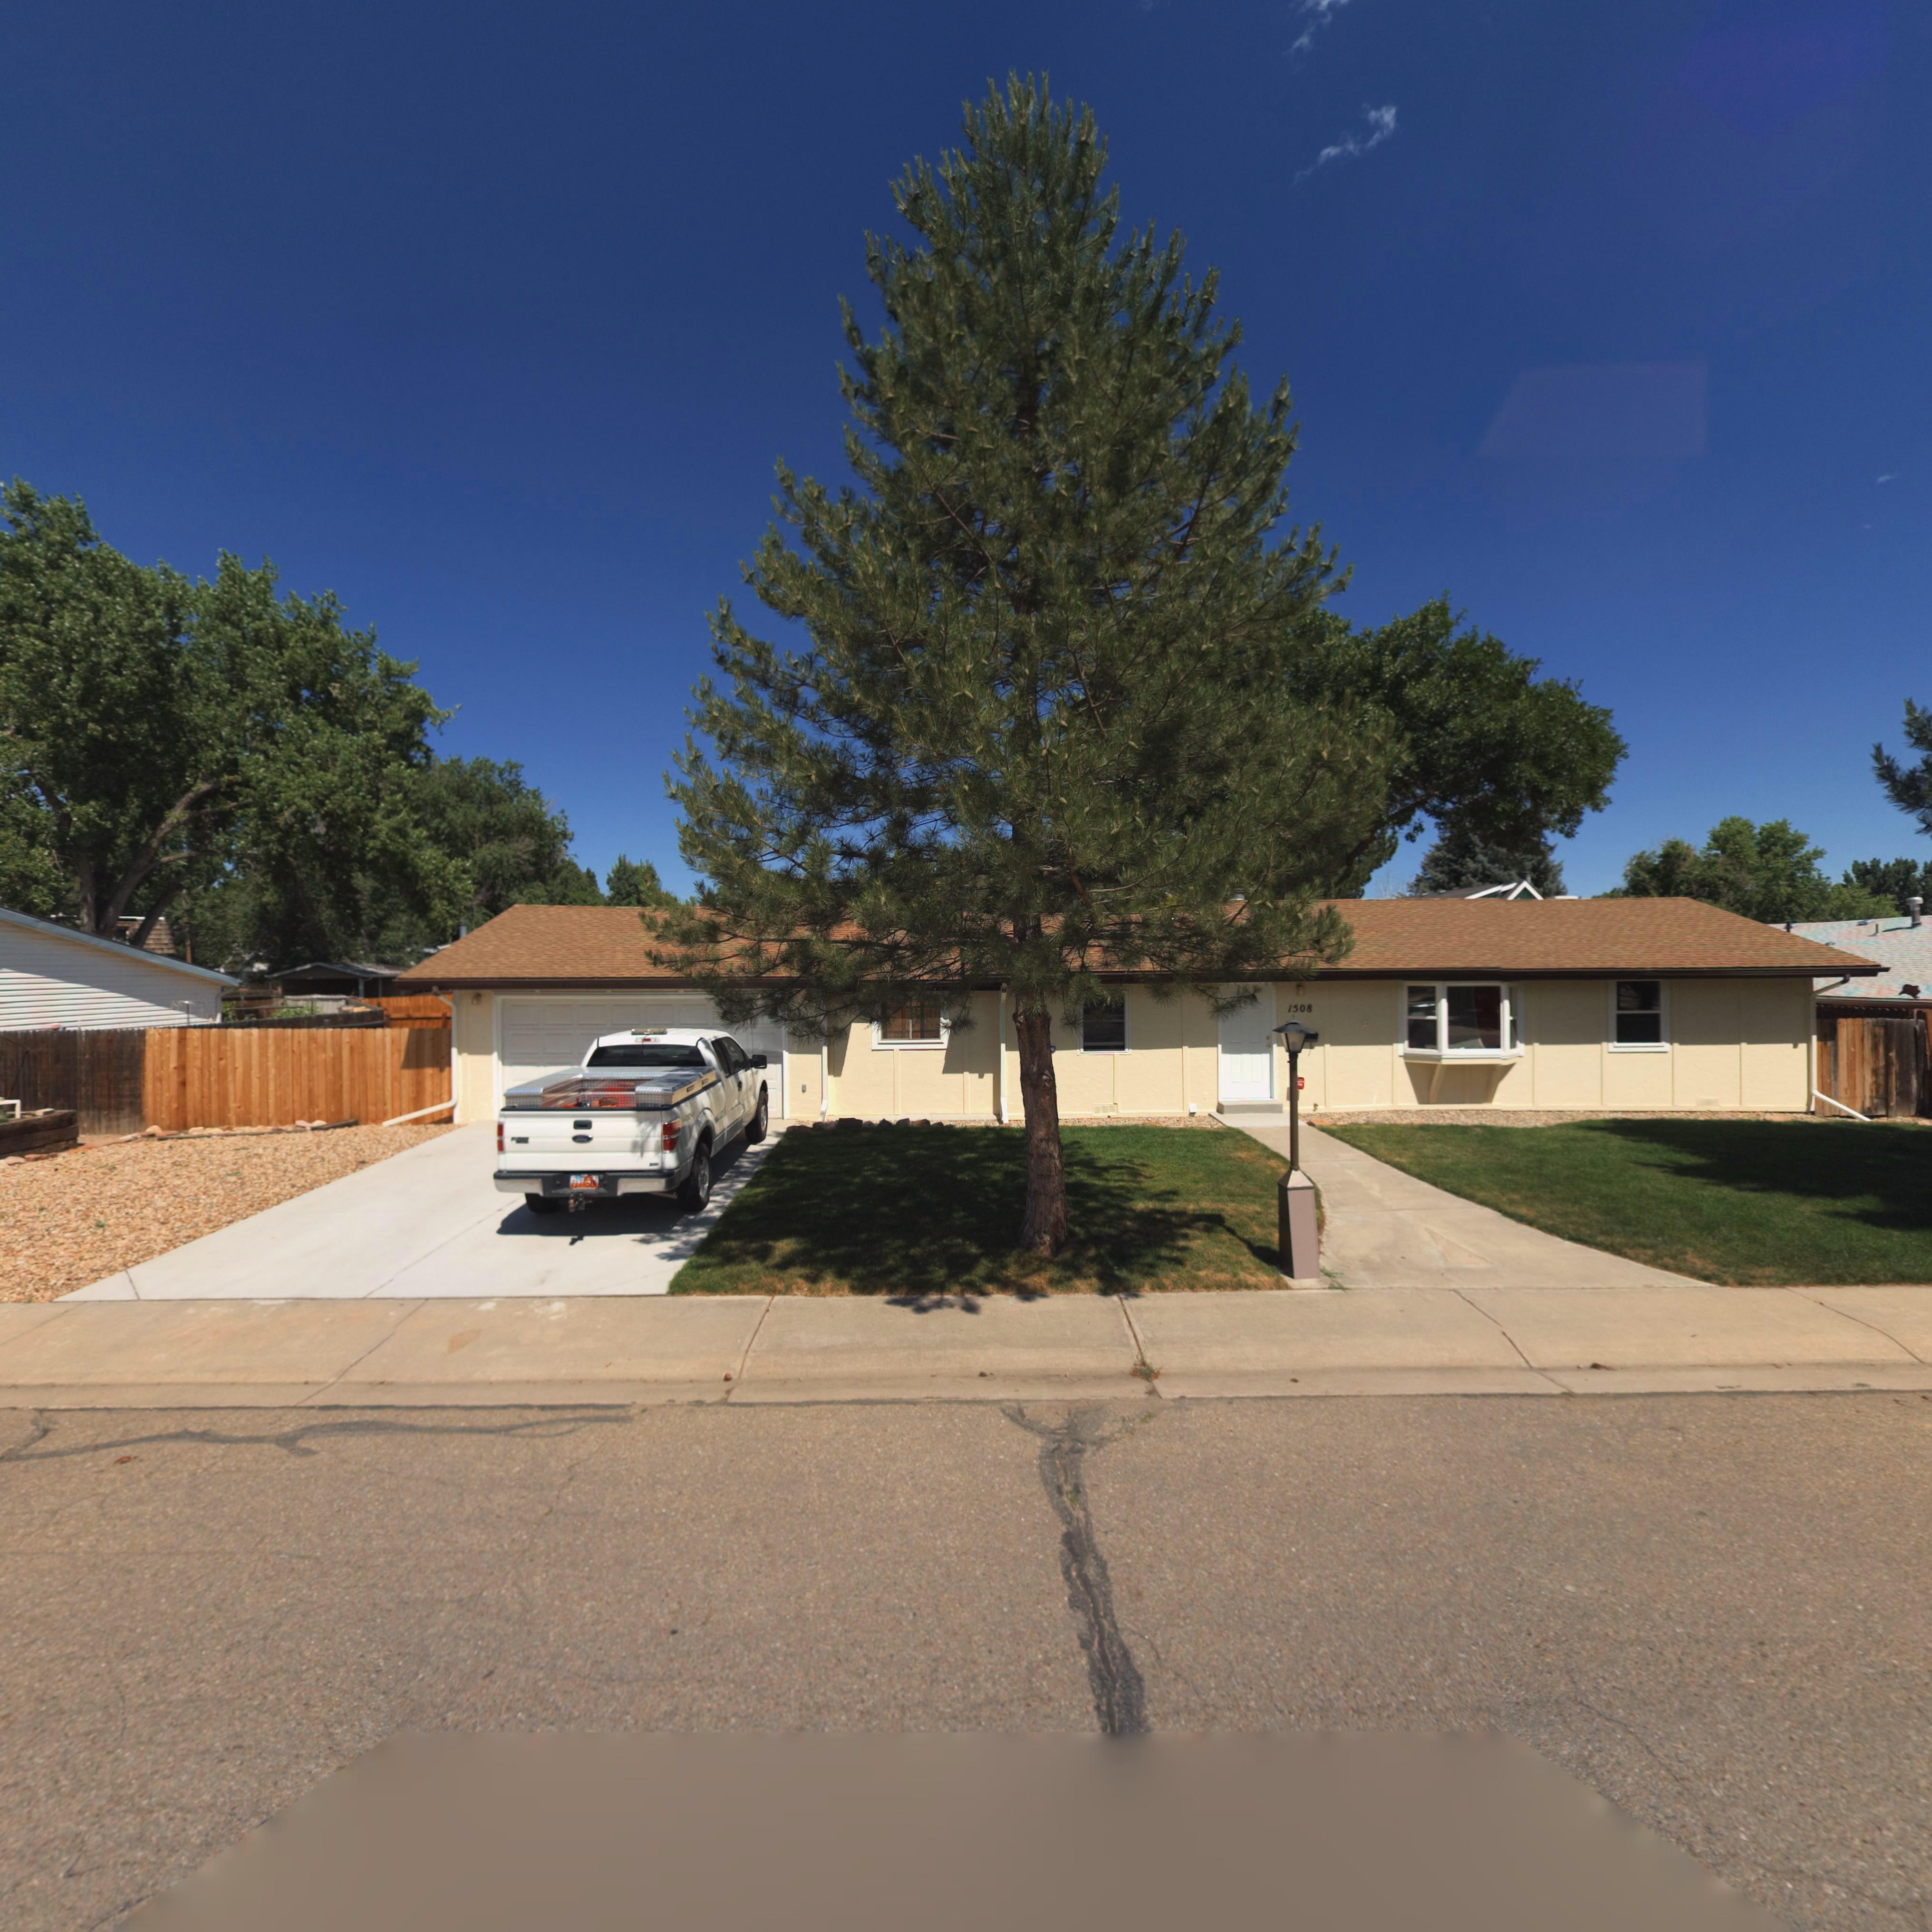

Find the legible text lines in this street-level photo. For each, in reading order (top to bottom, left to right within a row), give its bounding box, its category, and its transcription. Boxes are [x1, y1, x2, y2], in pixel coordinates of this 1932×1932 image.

[1287, 1004, 1313, 1013] StreetNumber: 1508